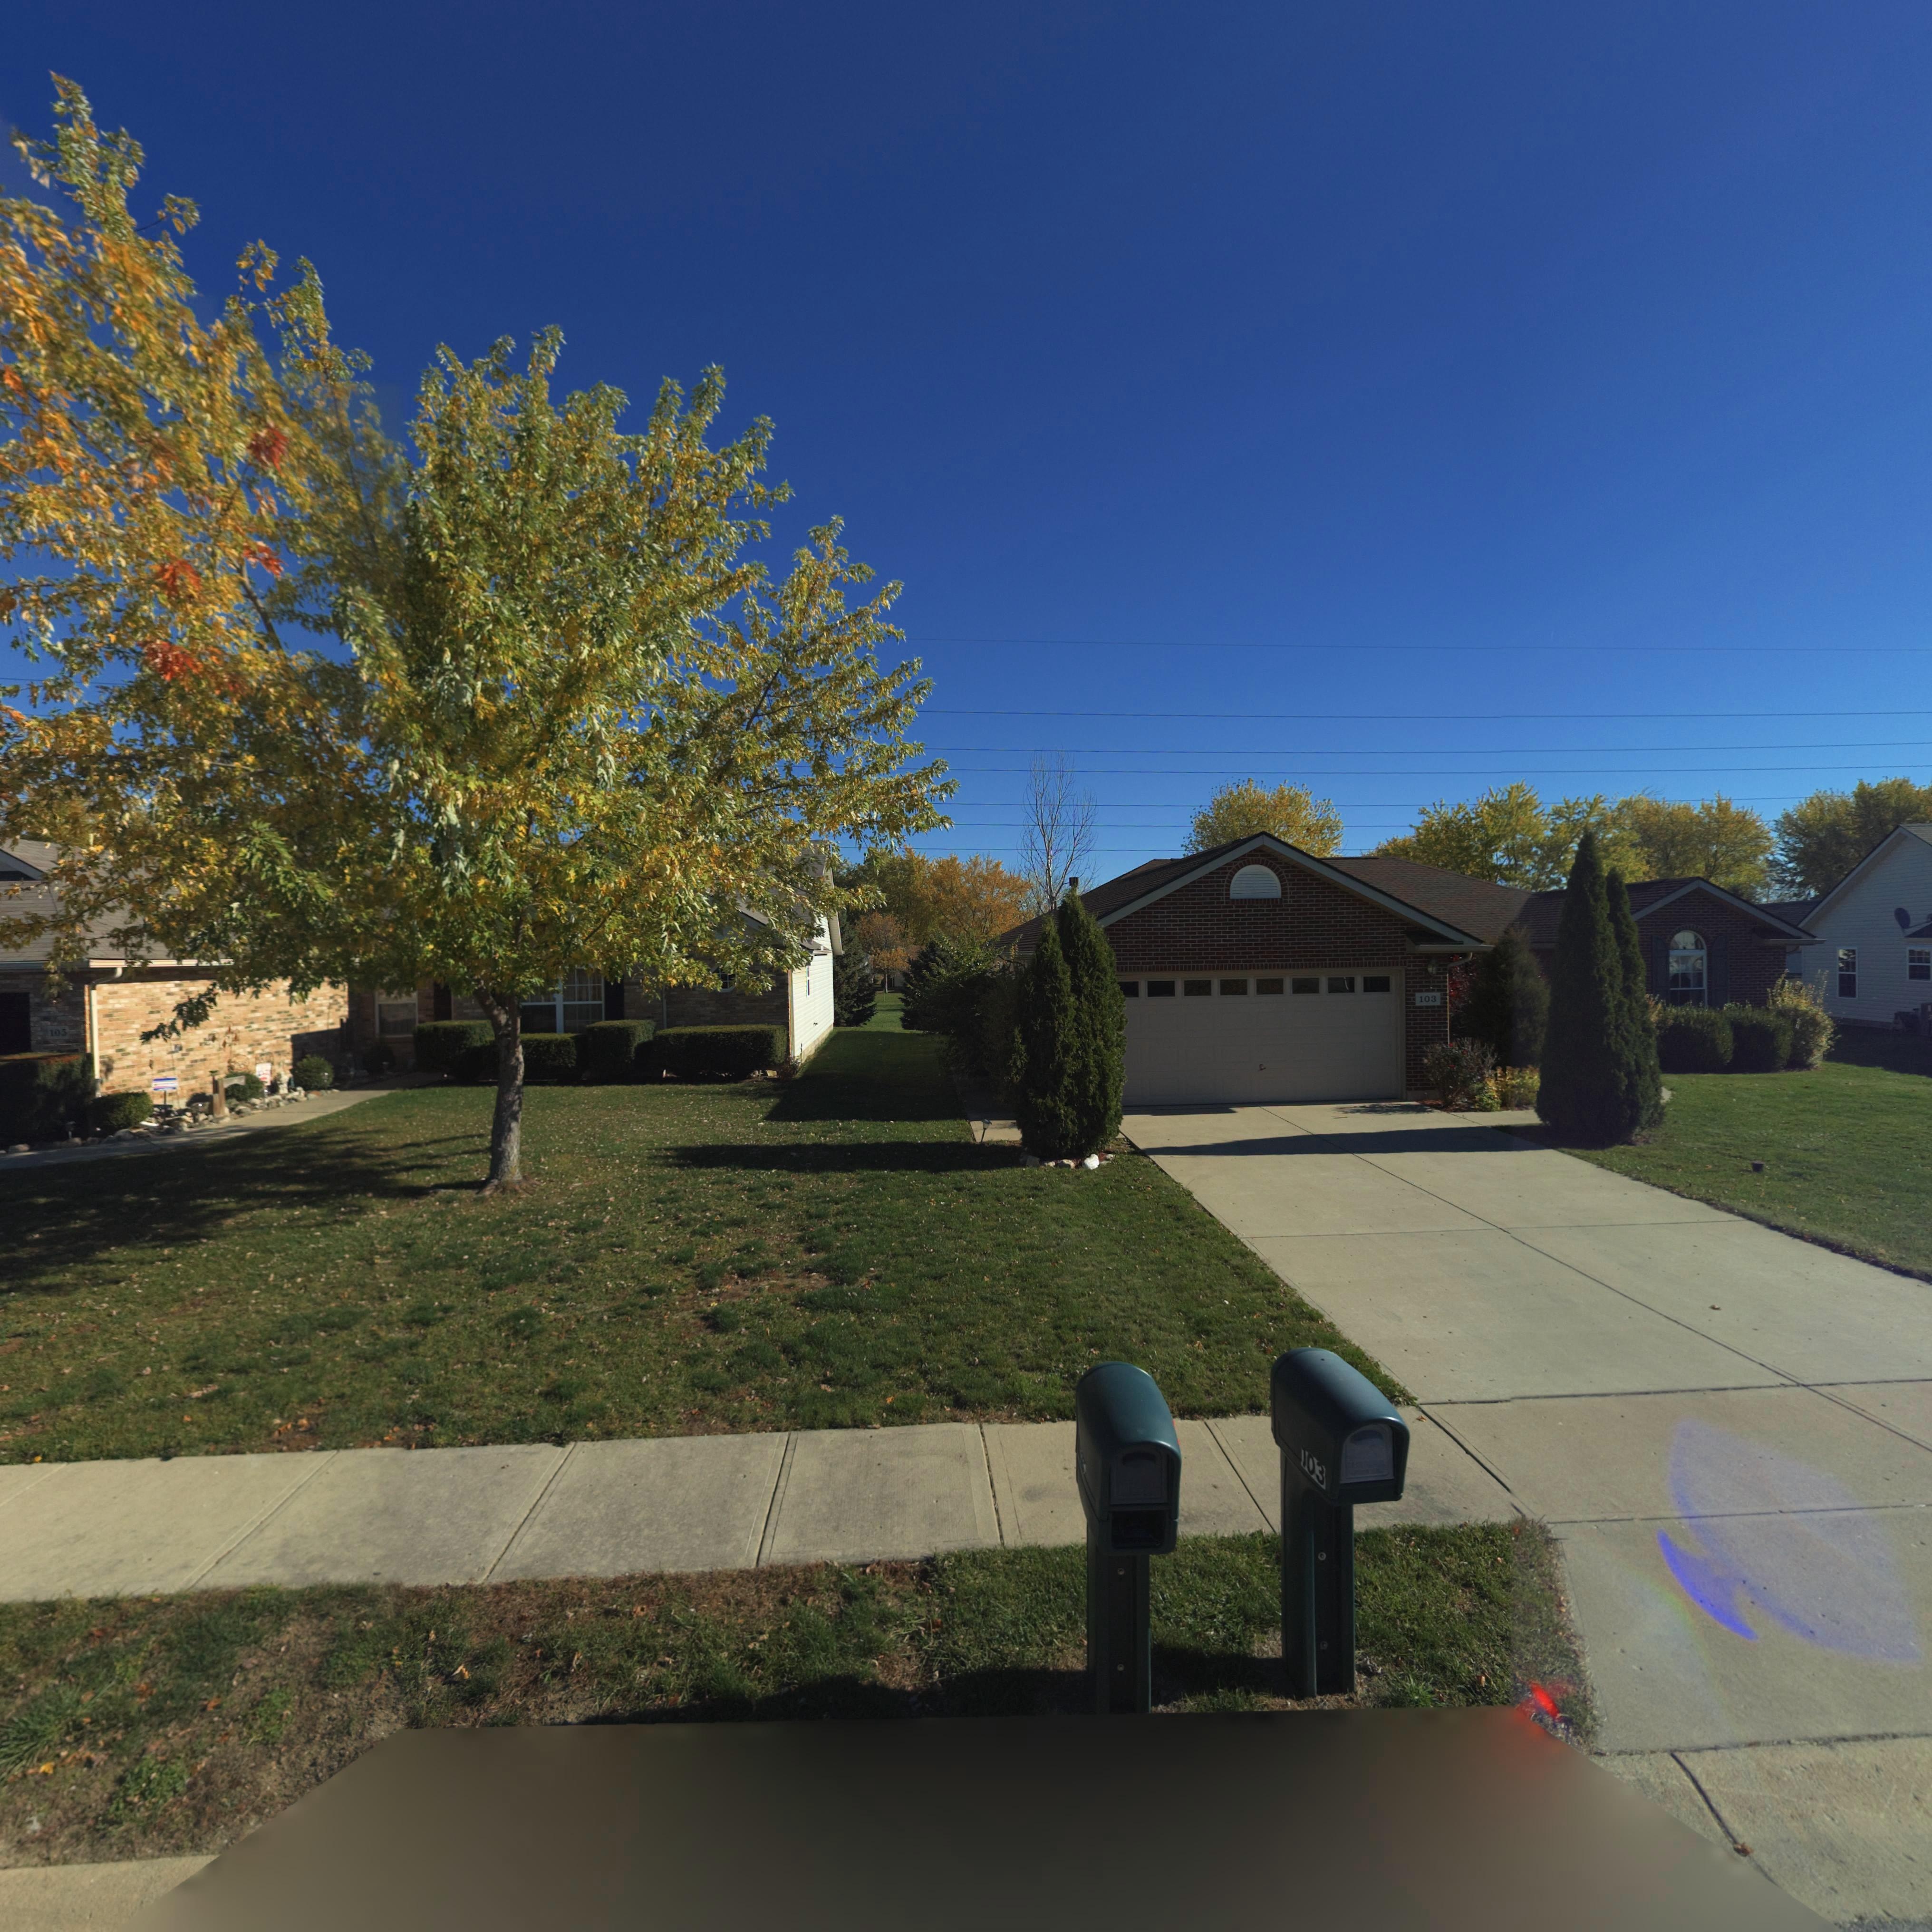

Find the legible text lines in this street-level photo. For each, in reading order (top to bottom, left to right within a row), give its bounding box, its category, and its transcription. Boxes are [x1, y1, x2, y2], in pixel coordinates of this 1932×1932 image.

[1419, 994, 1438, 1004] StreetNumber: 103
[48, 1028, 68, 1037] StreetNumber: 105
[1301, 1445, 1325, 1487] StreetNumber: 103